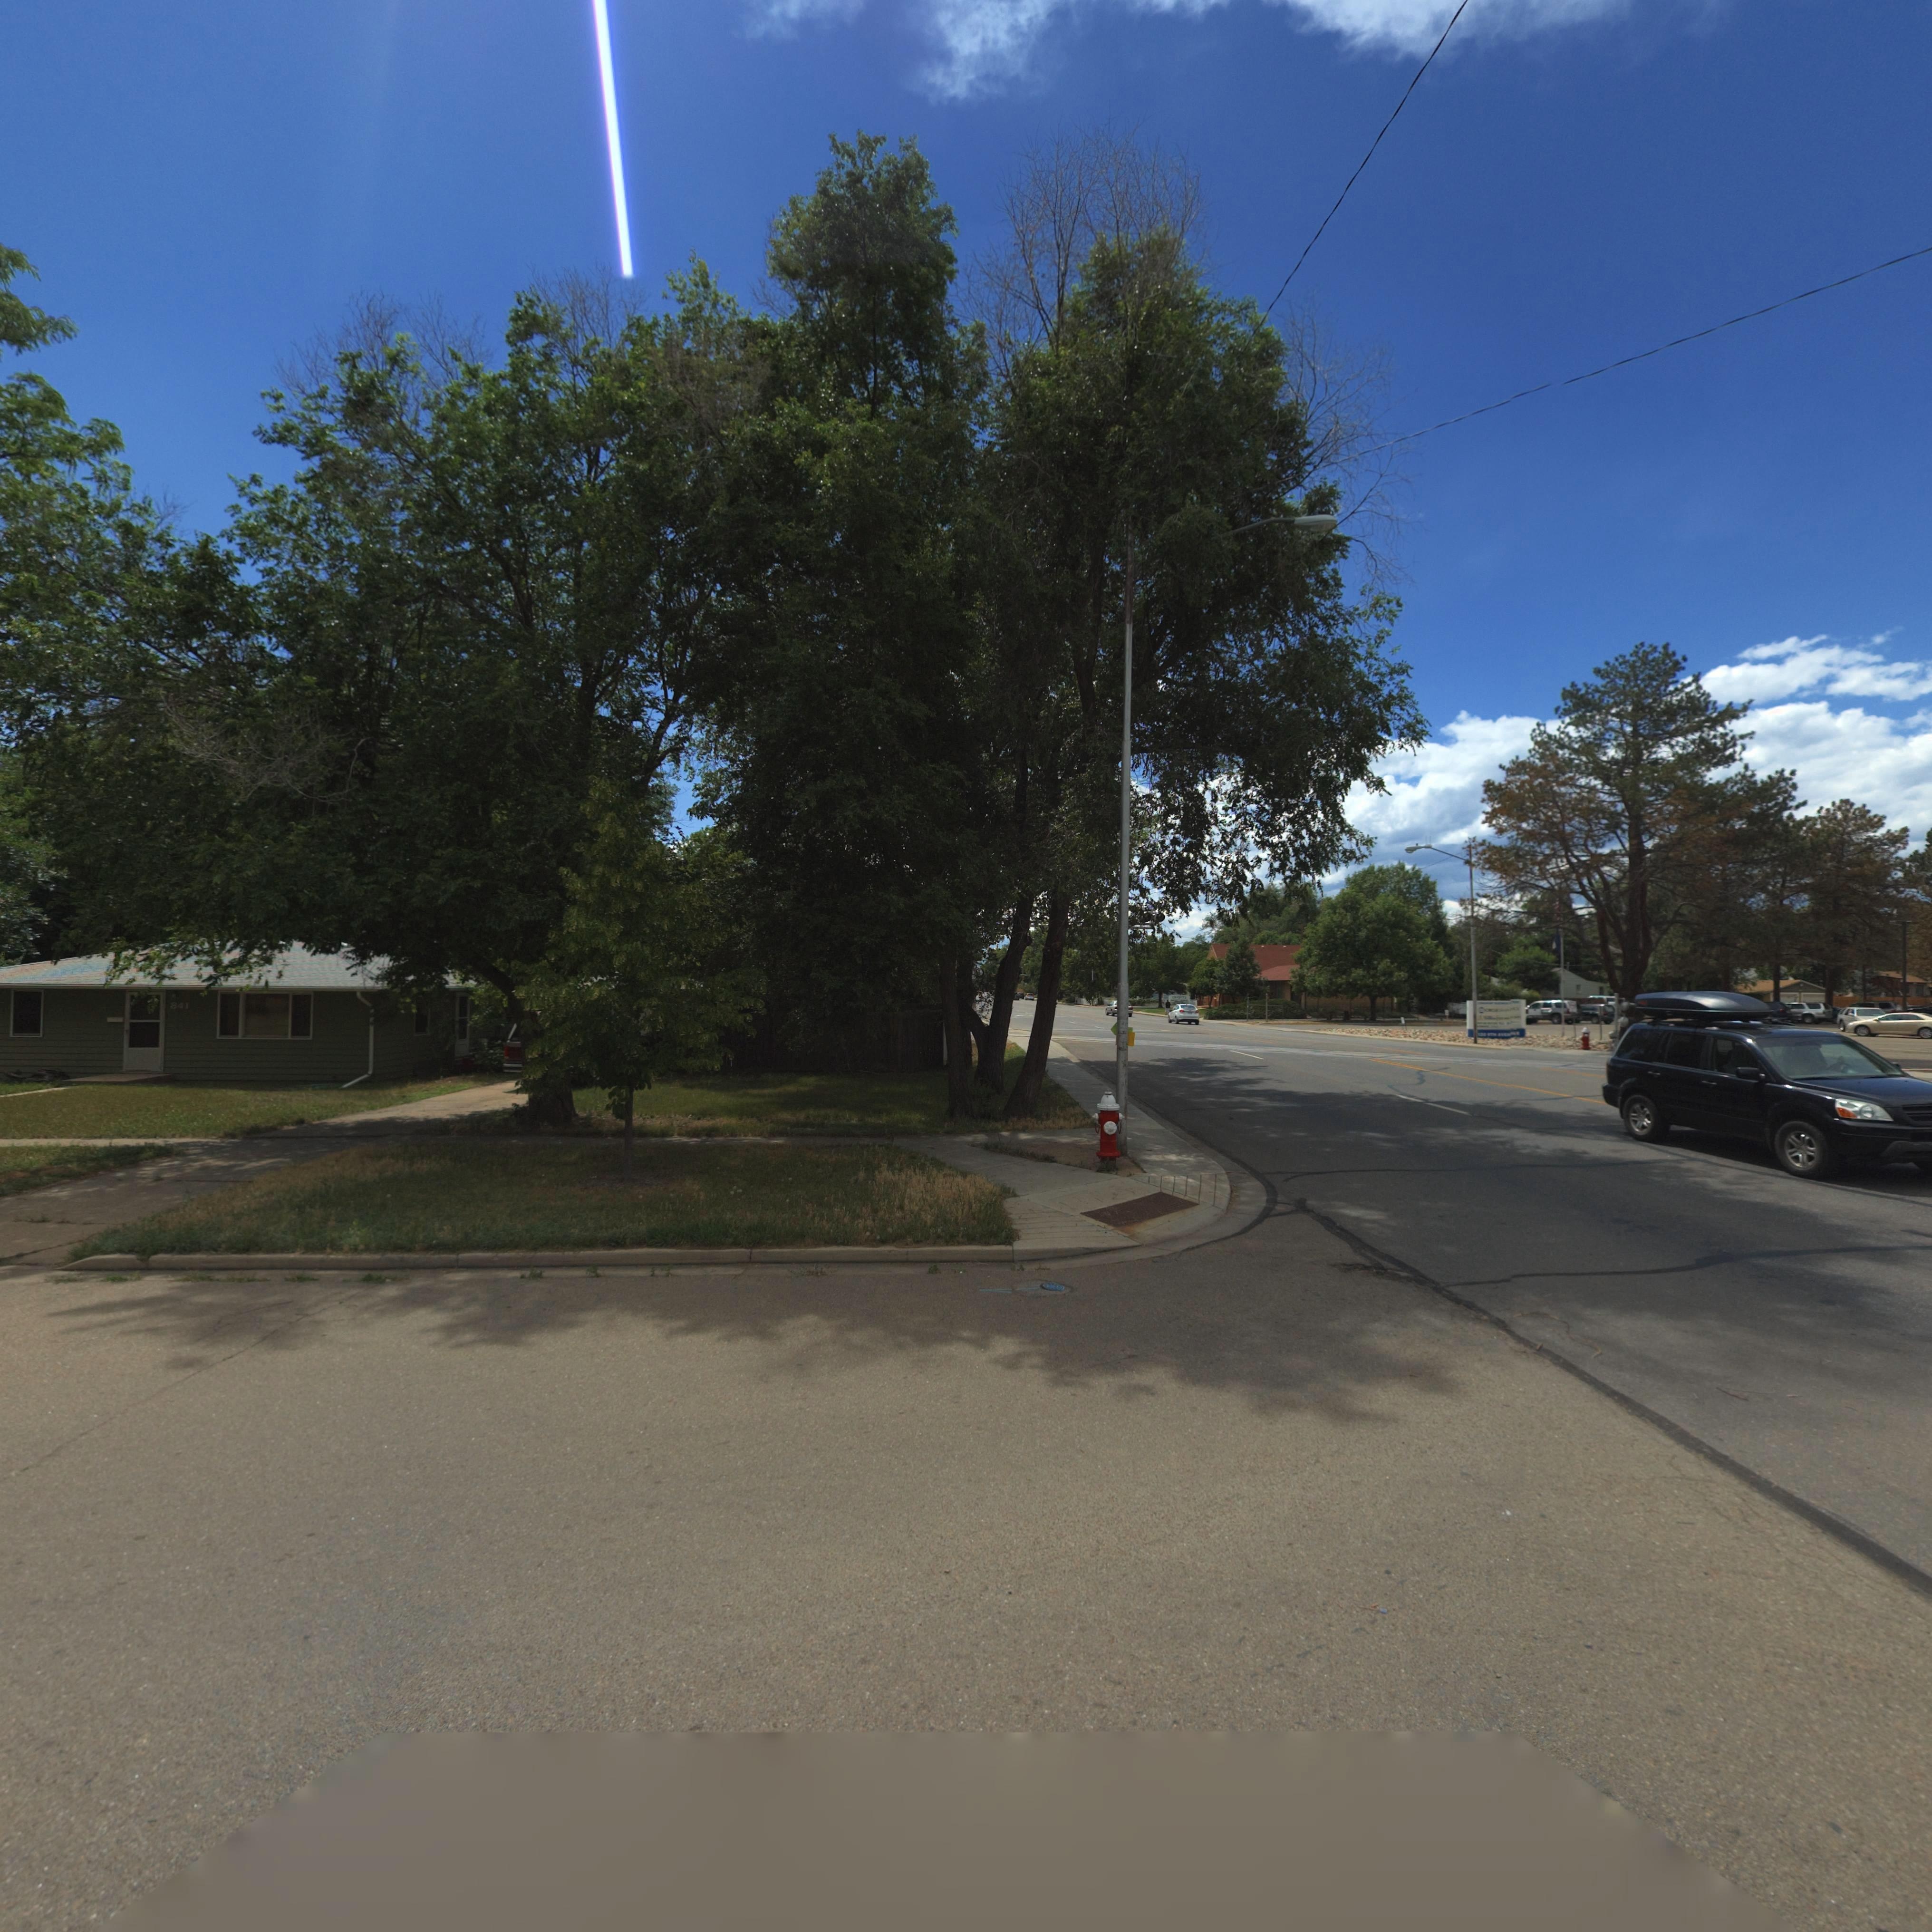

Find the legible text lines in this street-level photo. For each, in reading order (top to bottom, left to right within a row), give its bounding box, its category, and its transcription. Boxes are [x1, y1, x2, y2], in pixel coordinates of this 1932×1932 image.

[170, 1001, 189, 1010] StreetNumber: 841